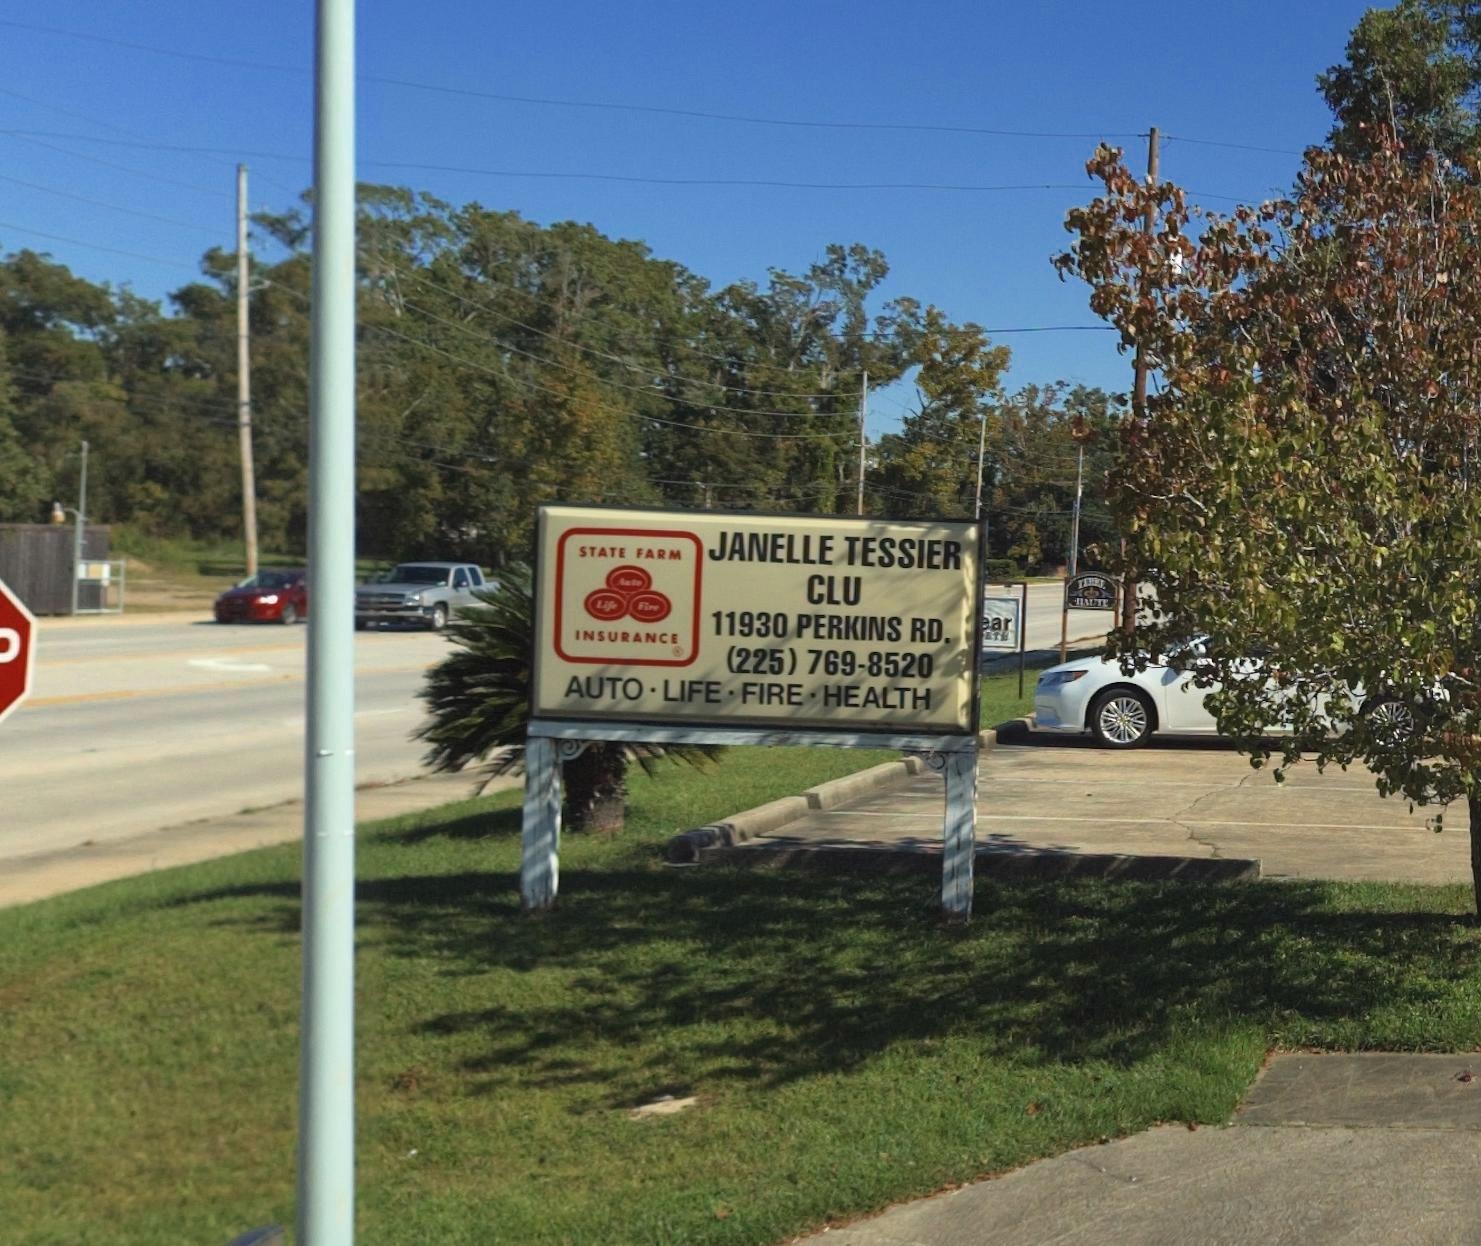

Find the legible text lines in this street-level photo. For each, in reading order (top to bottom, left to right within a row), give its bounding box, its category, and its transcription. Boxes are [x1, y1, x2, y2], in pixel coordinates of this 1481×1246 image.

[578, 545, 682, 562] BusinessName: STATE FARM
[706, 529, 963, 571] None: JANELLE TESSIER
[615, 576, 643, 587] None: Auto
[806, 573, 862, 606] None: CLU
[594, 598, 619, 613] None: Life
[636, 600, 661, 612] None: Fire
[575, 629, 680, 645] BusinessName: INSURANCE
[711, 609, 789, 639] StreetNumber: 11930
[795, 612, 951, 645] StreetName: PERKINS RD.
[991, 616, 1015, 633] None: ar
[725, 645, 934, 680] None: (225) 769-8520
[564, 673, 933, 711] None: AUTO - LIFE - FIRE - HEALTH